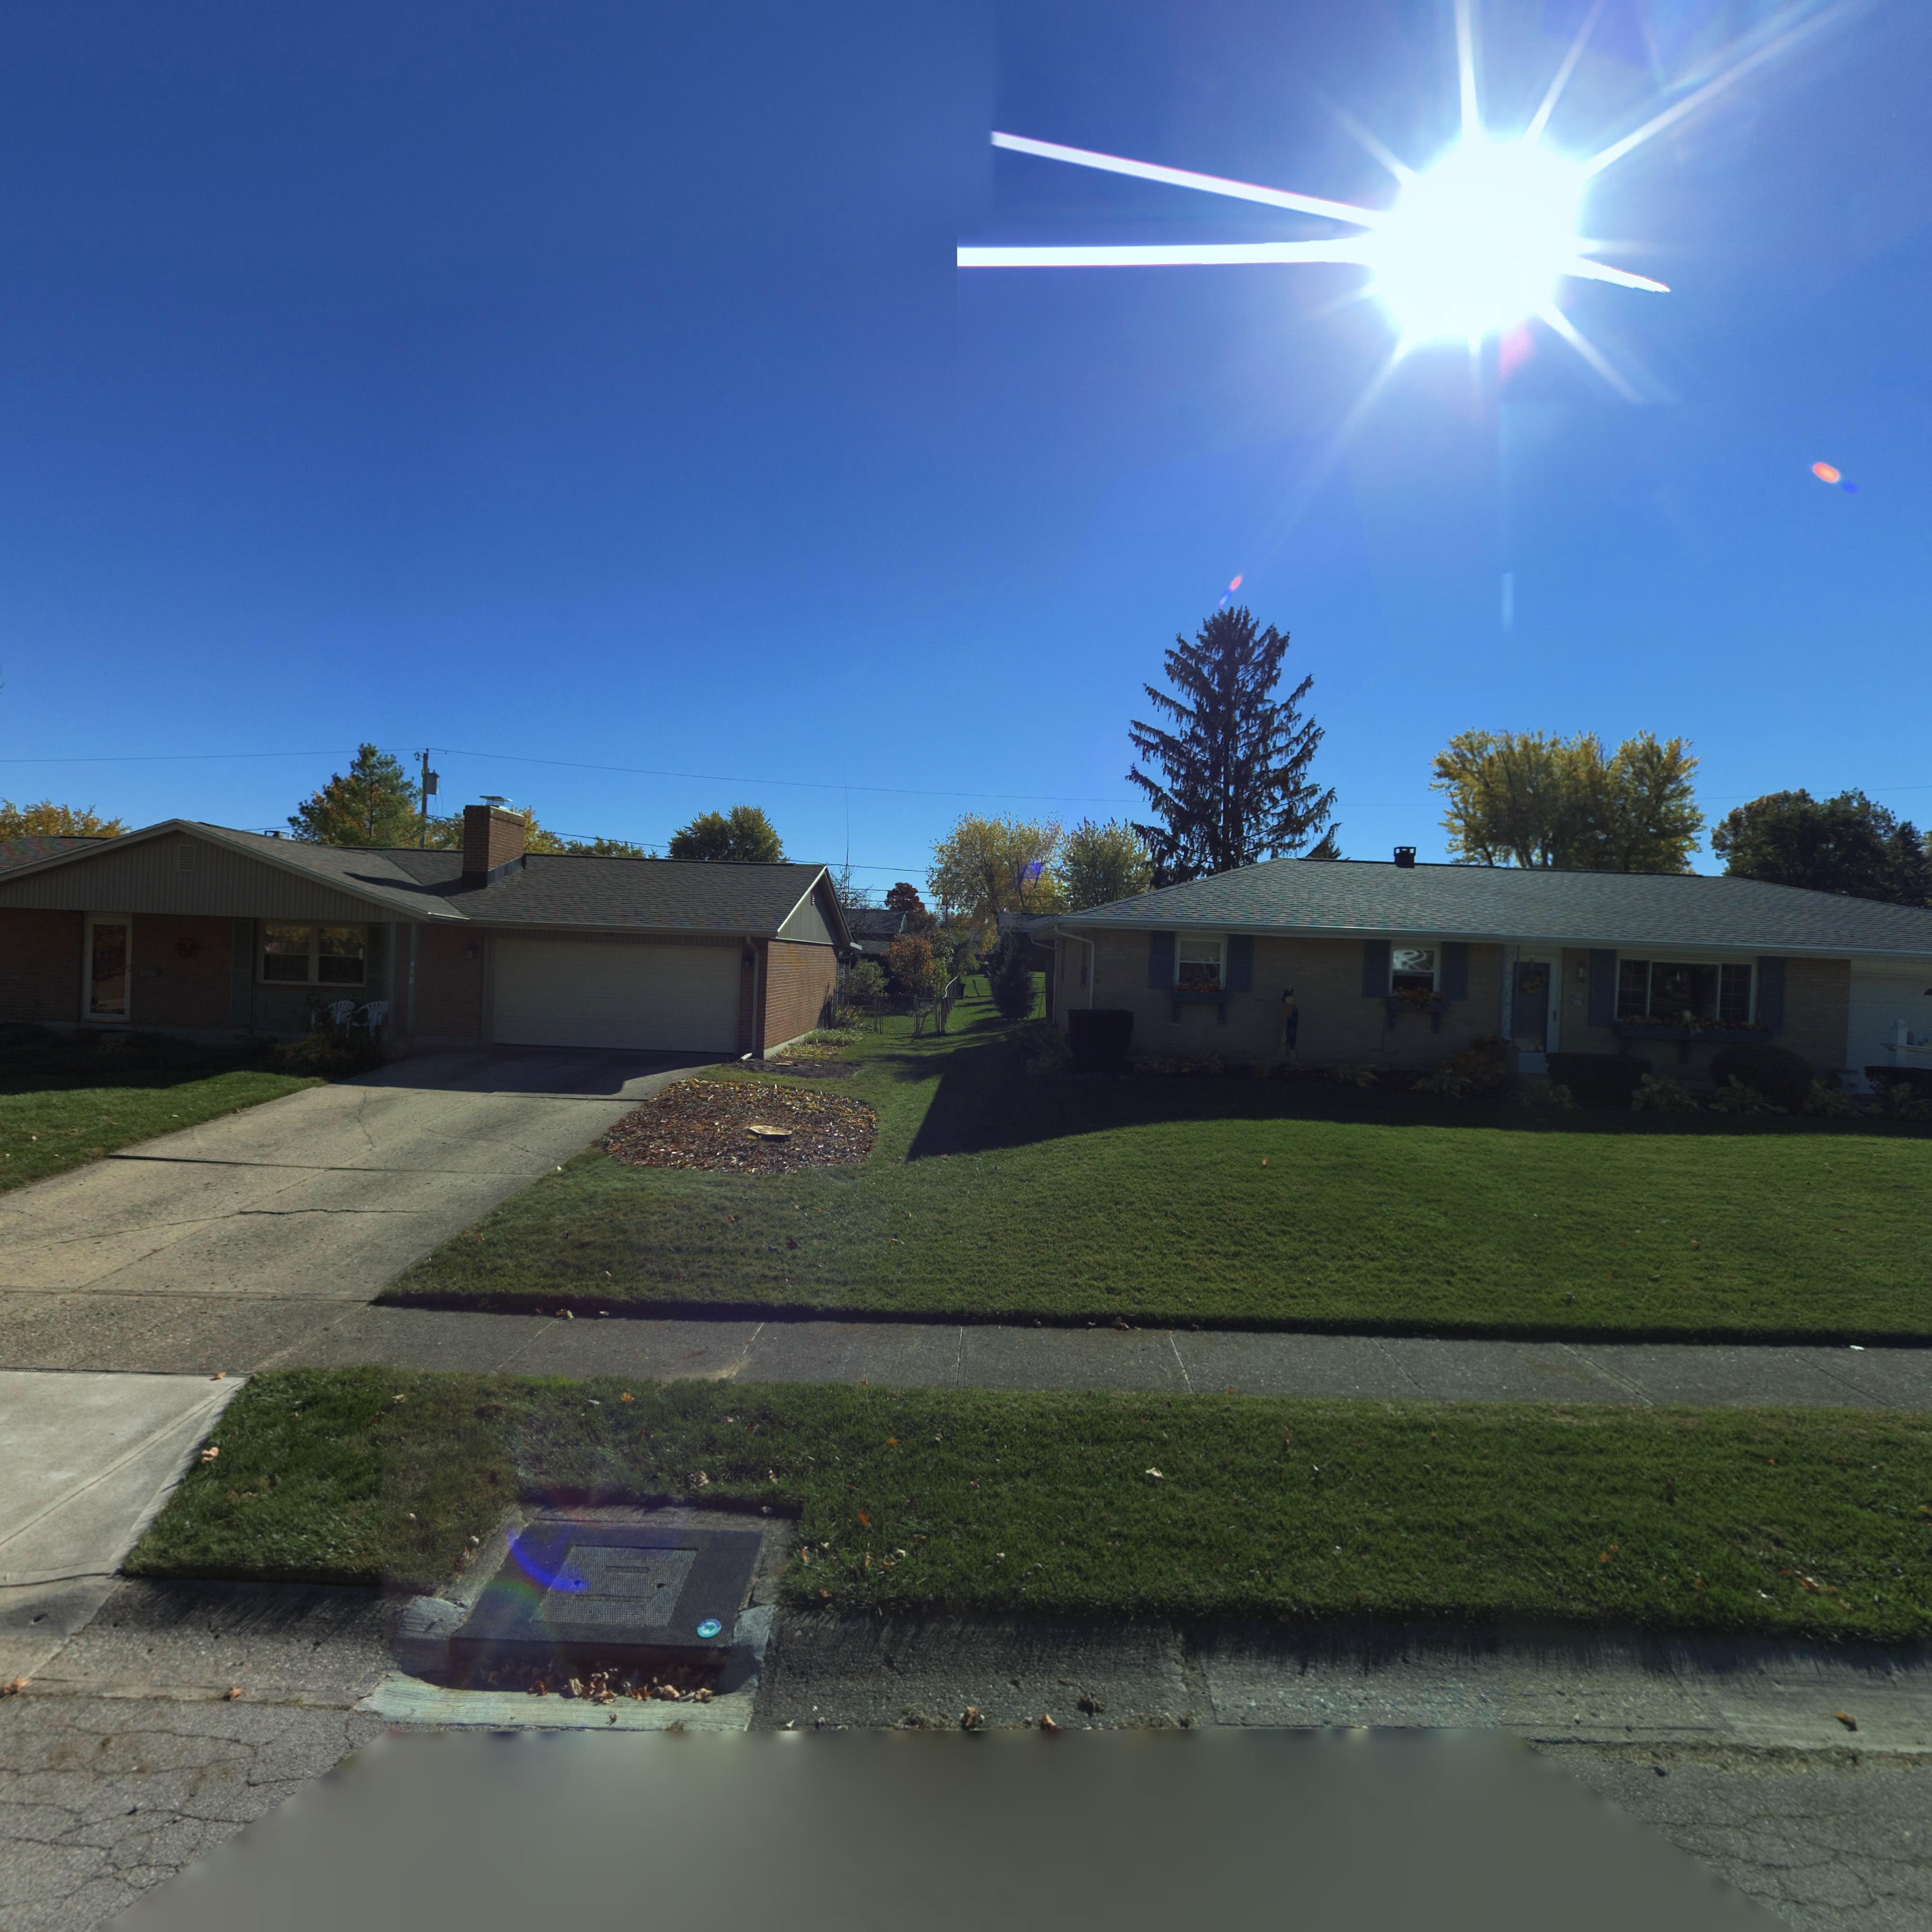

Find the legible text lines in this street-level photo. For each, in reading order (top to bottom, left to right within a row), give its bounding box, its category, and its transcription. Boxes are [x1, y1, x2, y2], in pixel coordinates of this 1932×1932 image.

[407, 958, 416, 985] StreetNumber: 418